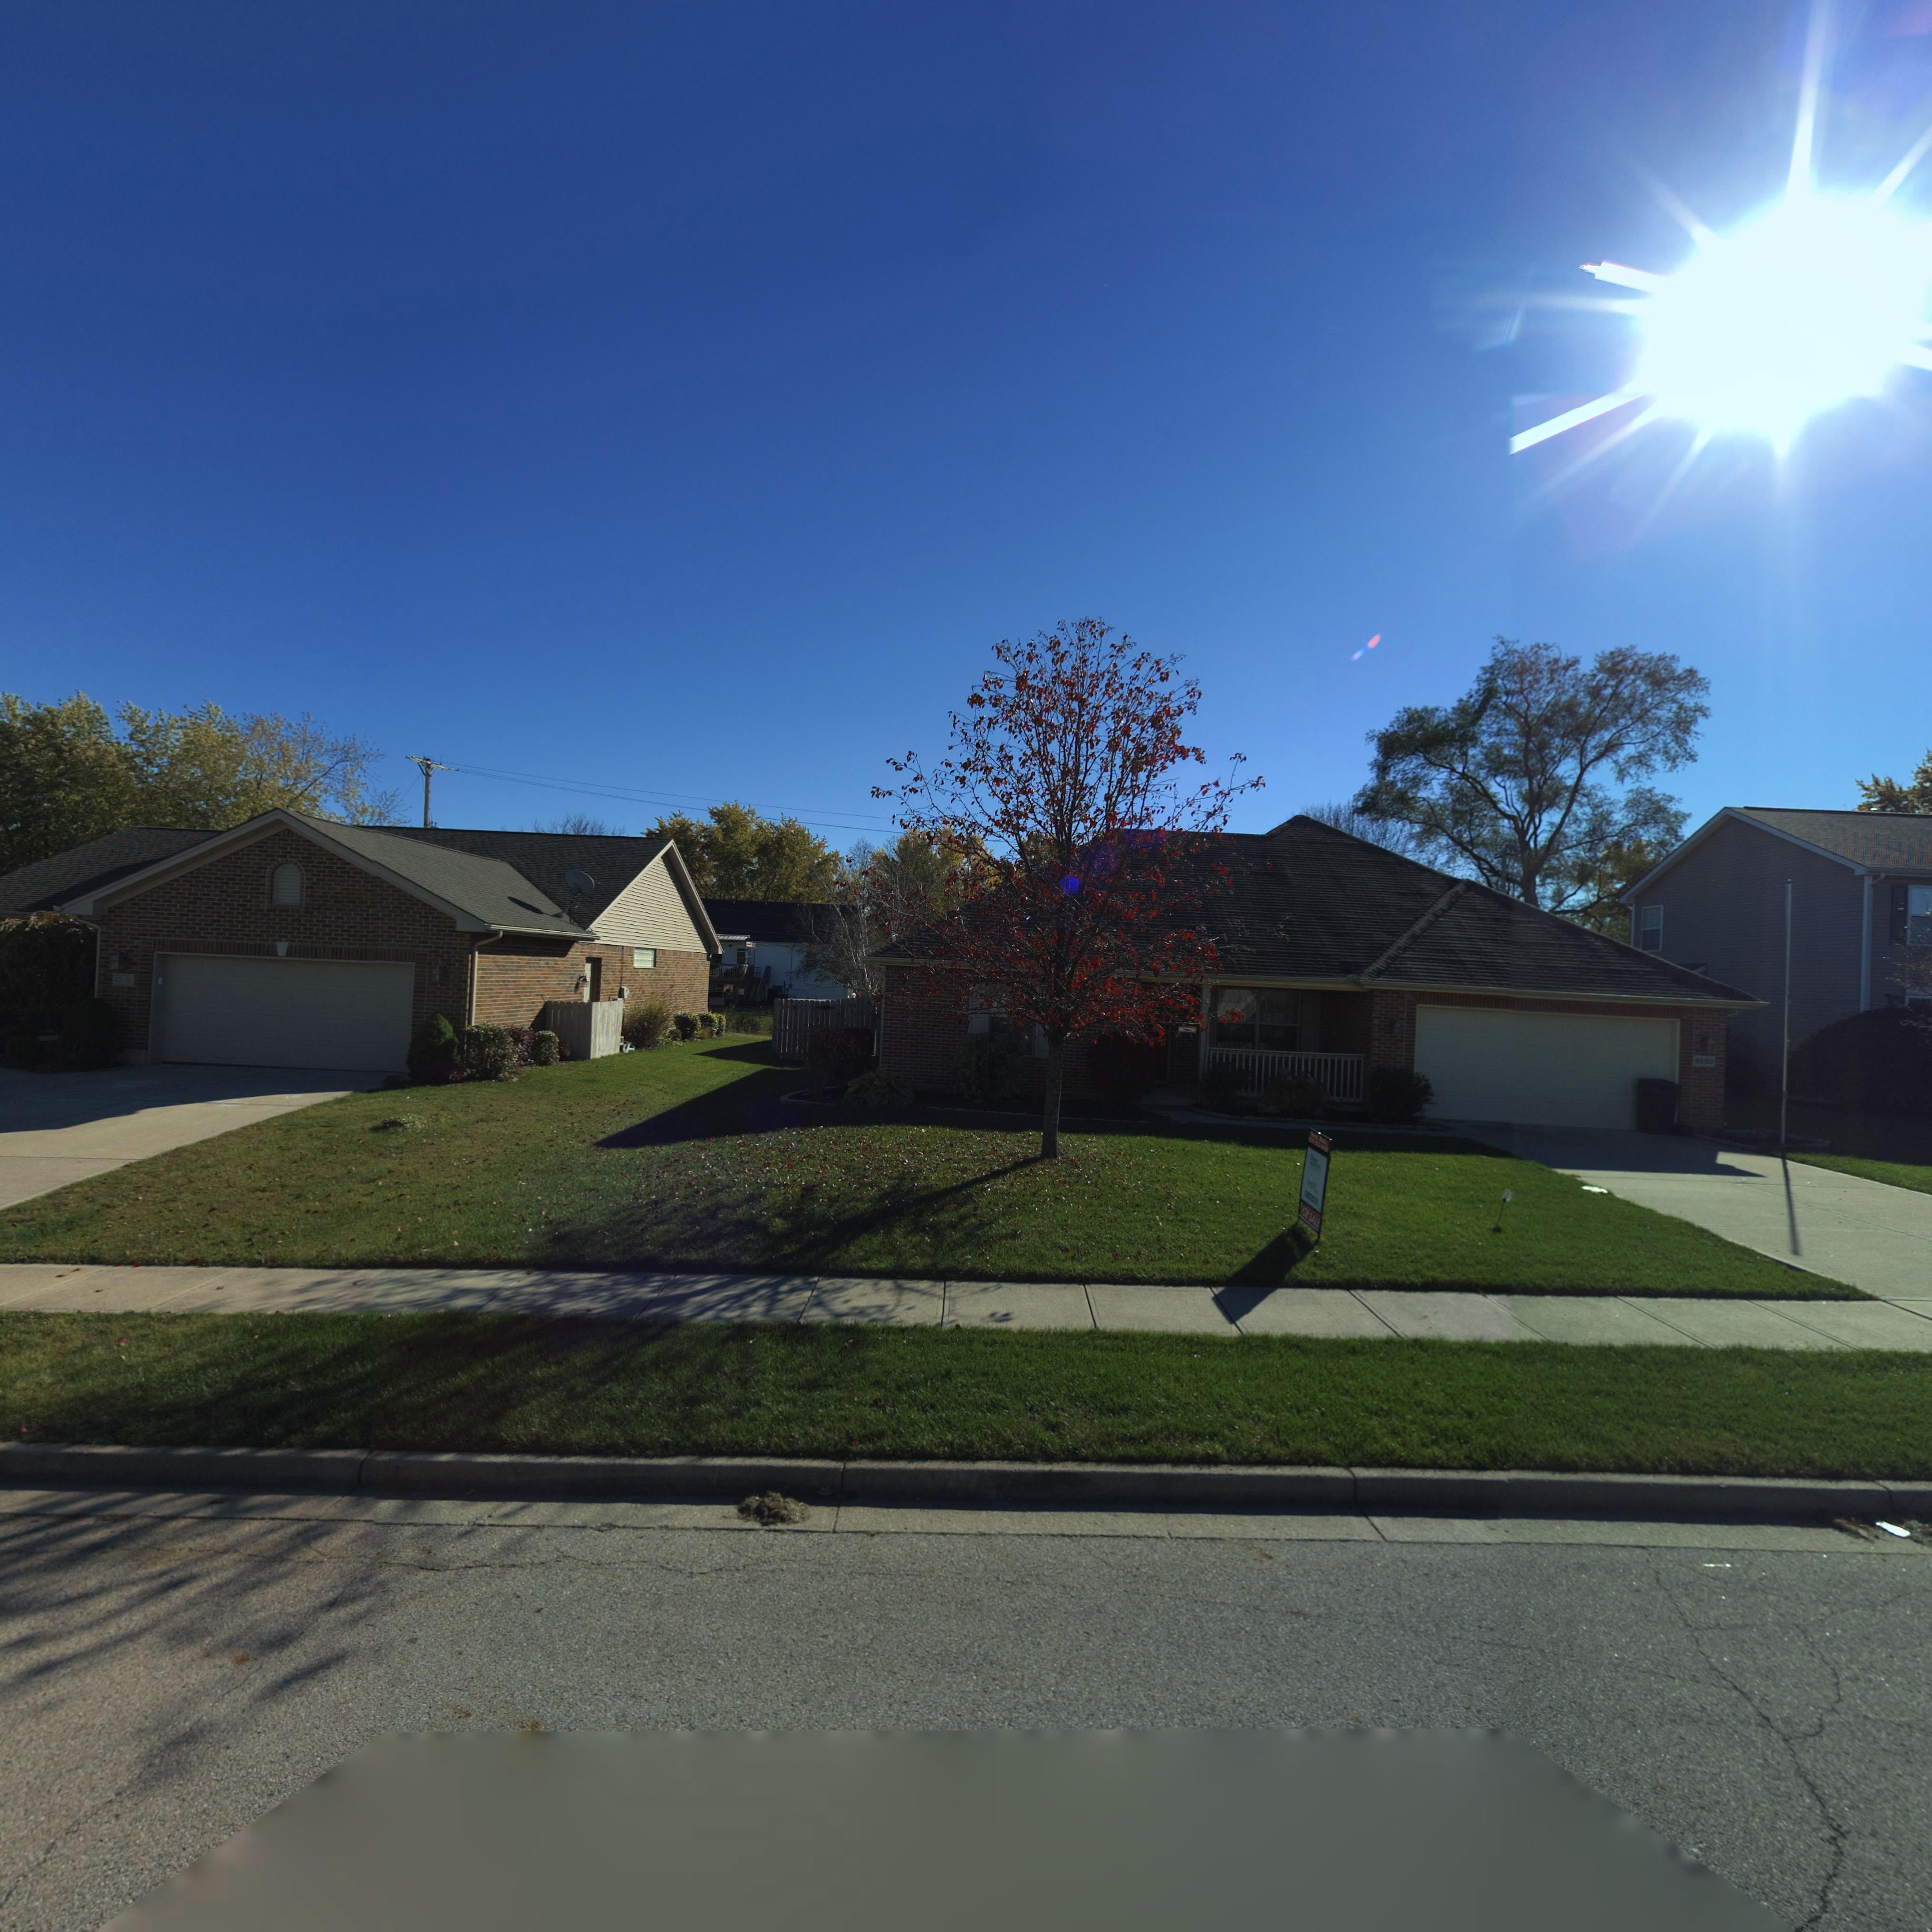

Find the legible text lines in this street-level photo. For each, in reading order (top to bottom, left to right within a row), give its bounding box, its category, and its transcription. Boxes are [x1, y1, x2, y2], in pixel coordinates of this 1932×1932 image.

[114, 975, 132, 985] StreetNumber: **10
[1693, 1056, 1716, 1066] StreetNumber: 45*0
[1299, 1204, 1322, 1229] None: FOR SALE